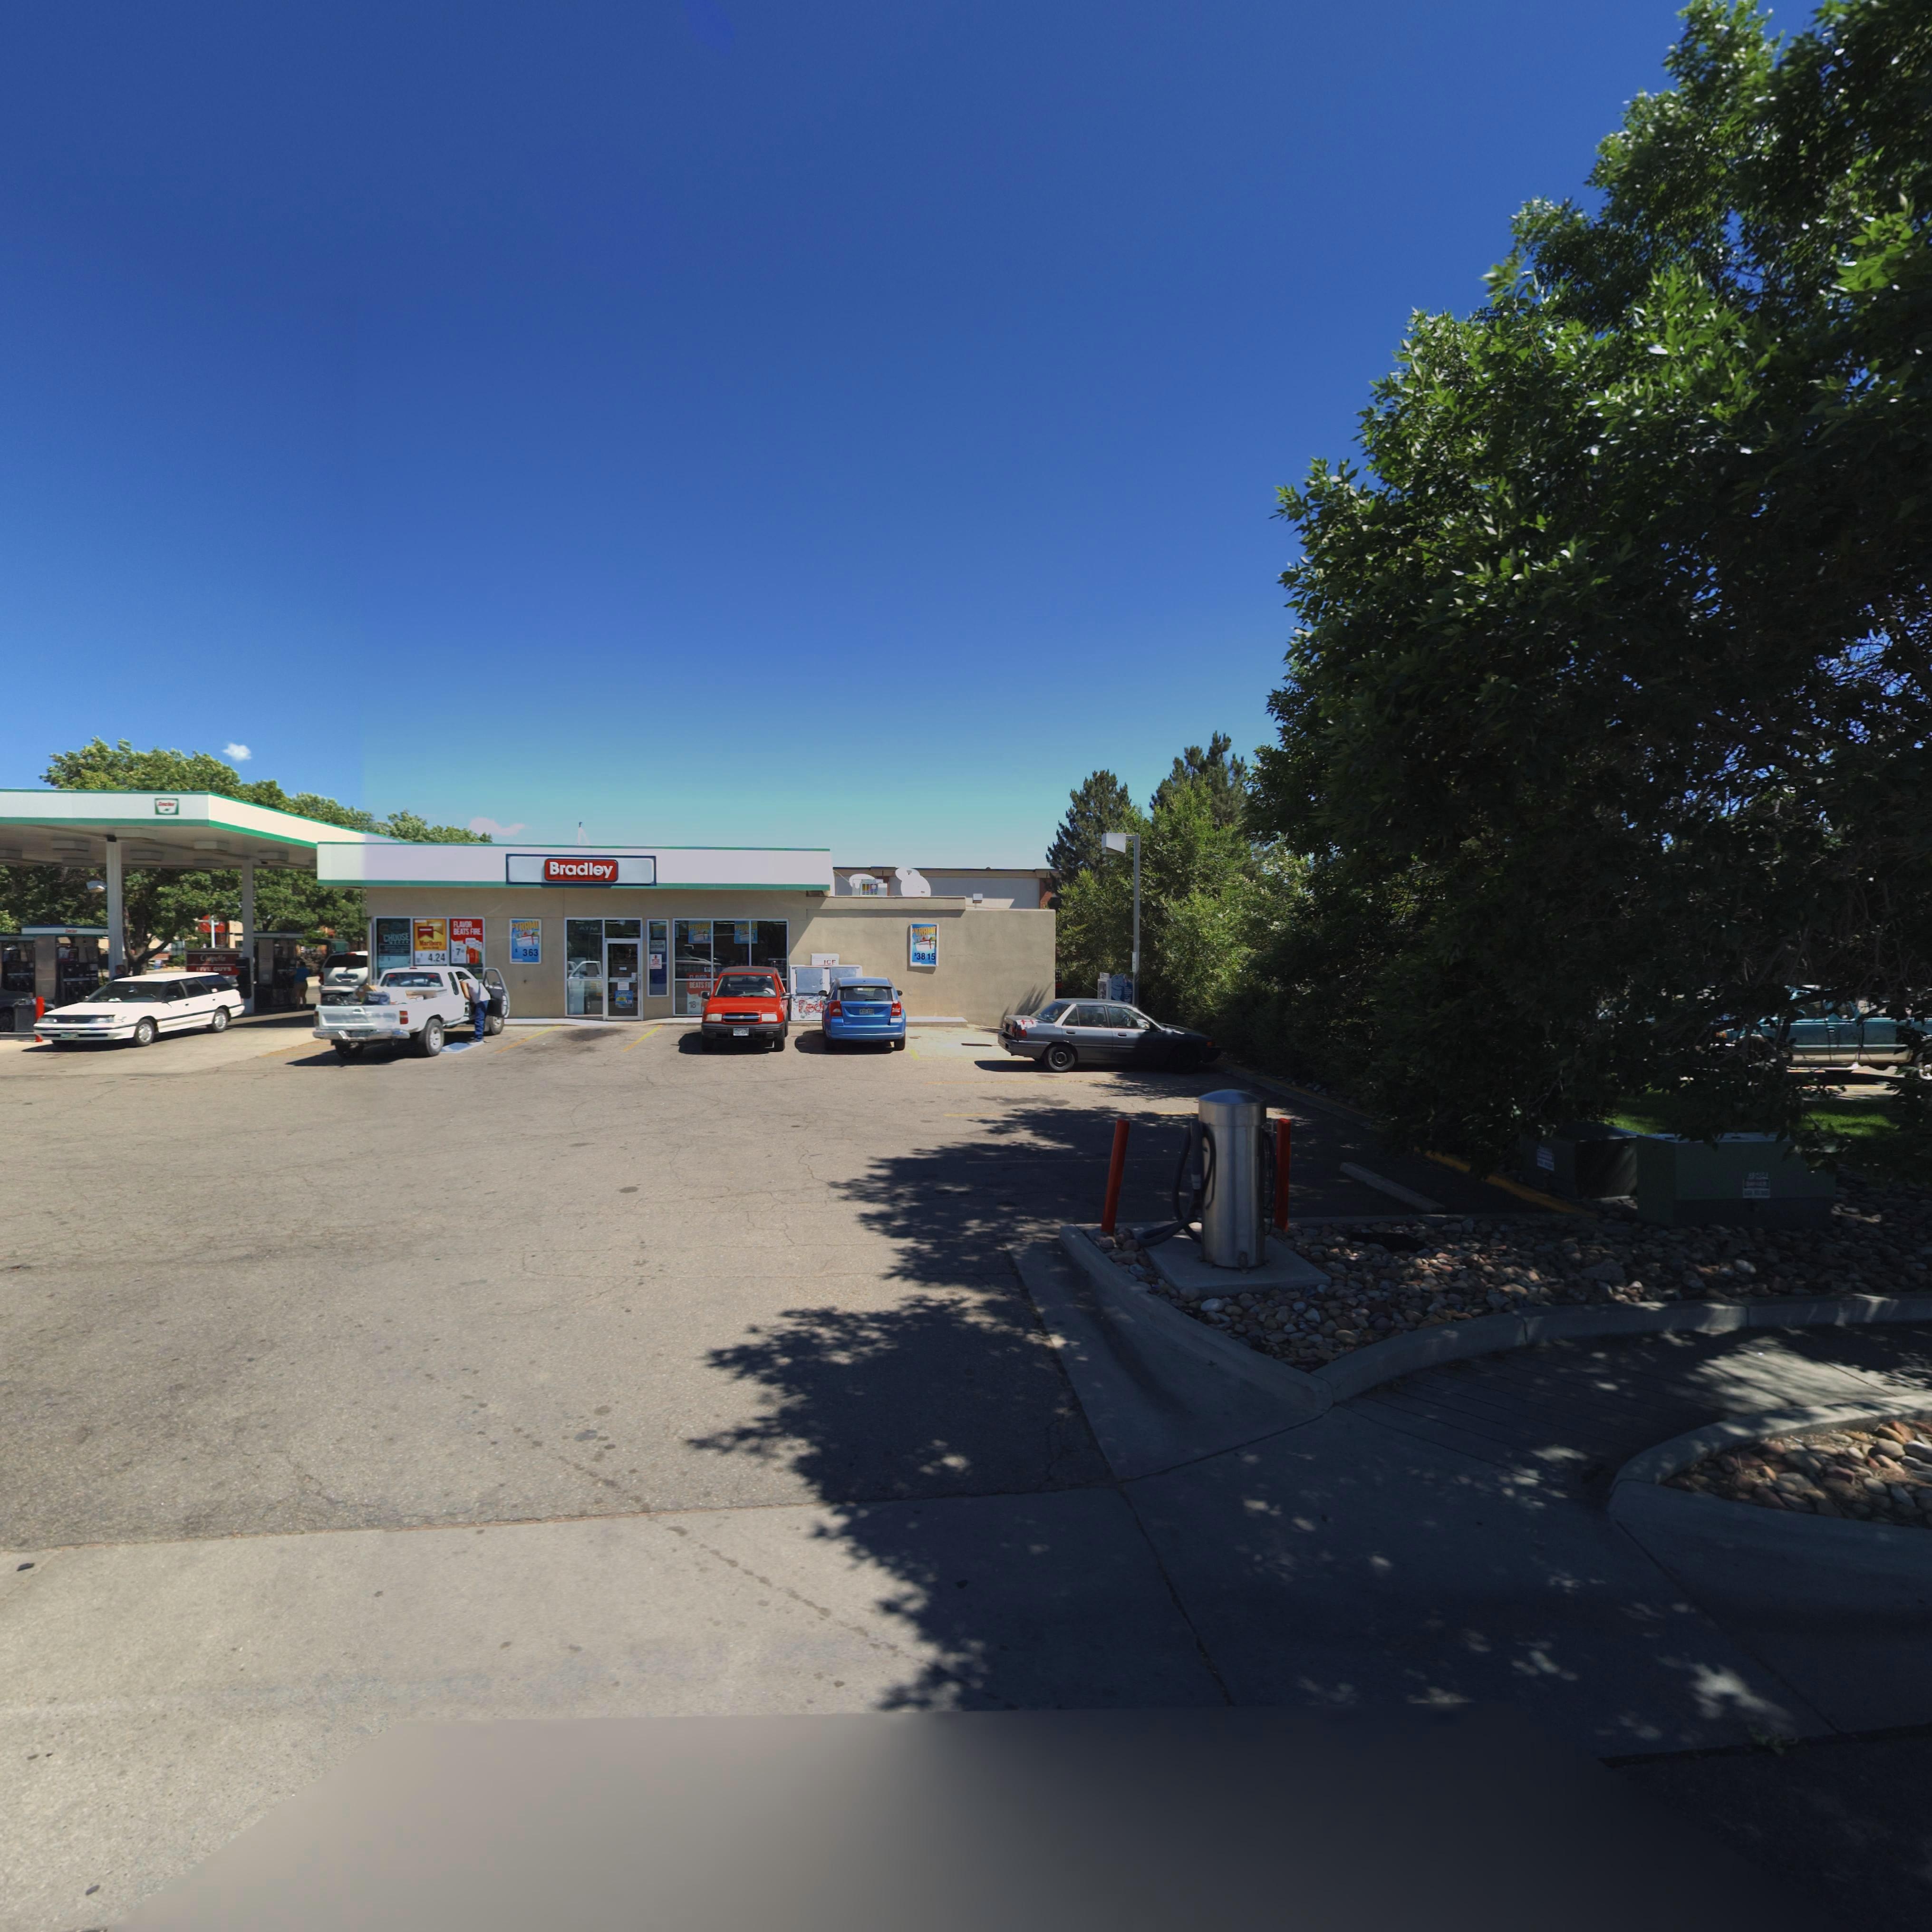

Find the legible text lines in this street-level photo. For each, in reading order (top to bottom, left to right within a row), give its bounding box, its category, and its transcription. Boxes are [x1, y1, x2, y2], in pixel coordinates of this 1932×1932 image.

[156, 801, 175, 806] BusinessName: S**c***
[549, 861, 613, 879] BusinessName: Bradley
[199, 953, 227, 963] BusinessName: Chipotle
[195, 966, 232, 971] BusinessName: FIVE GUYS